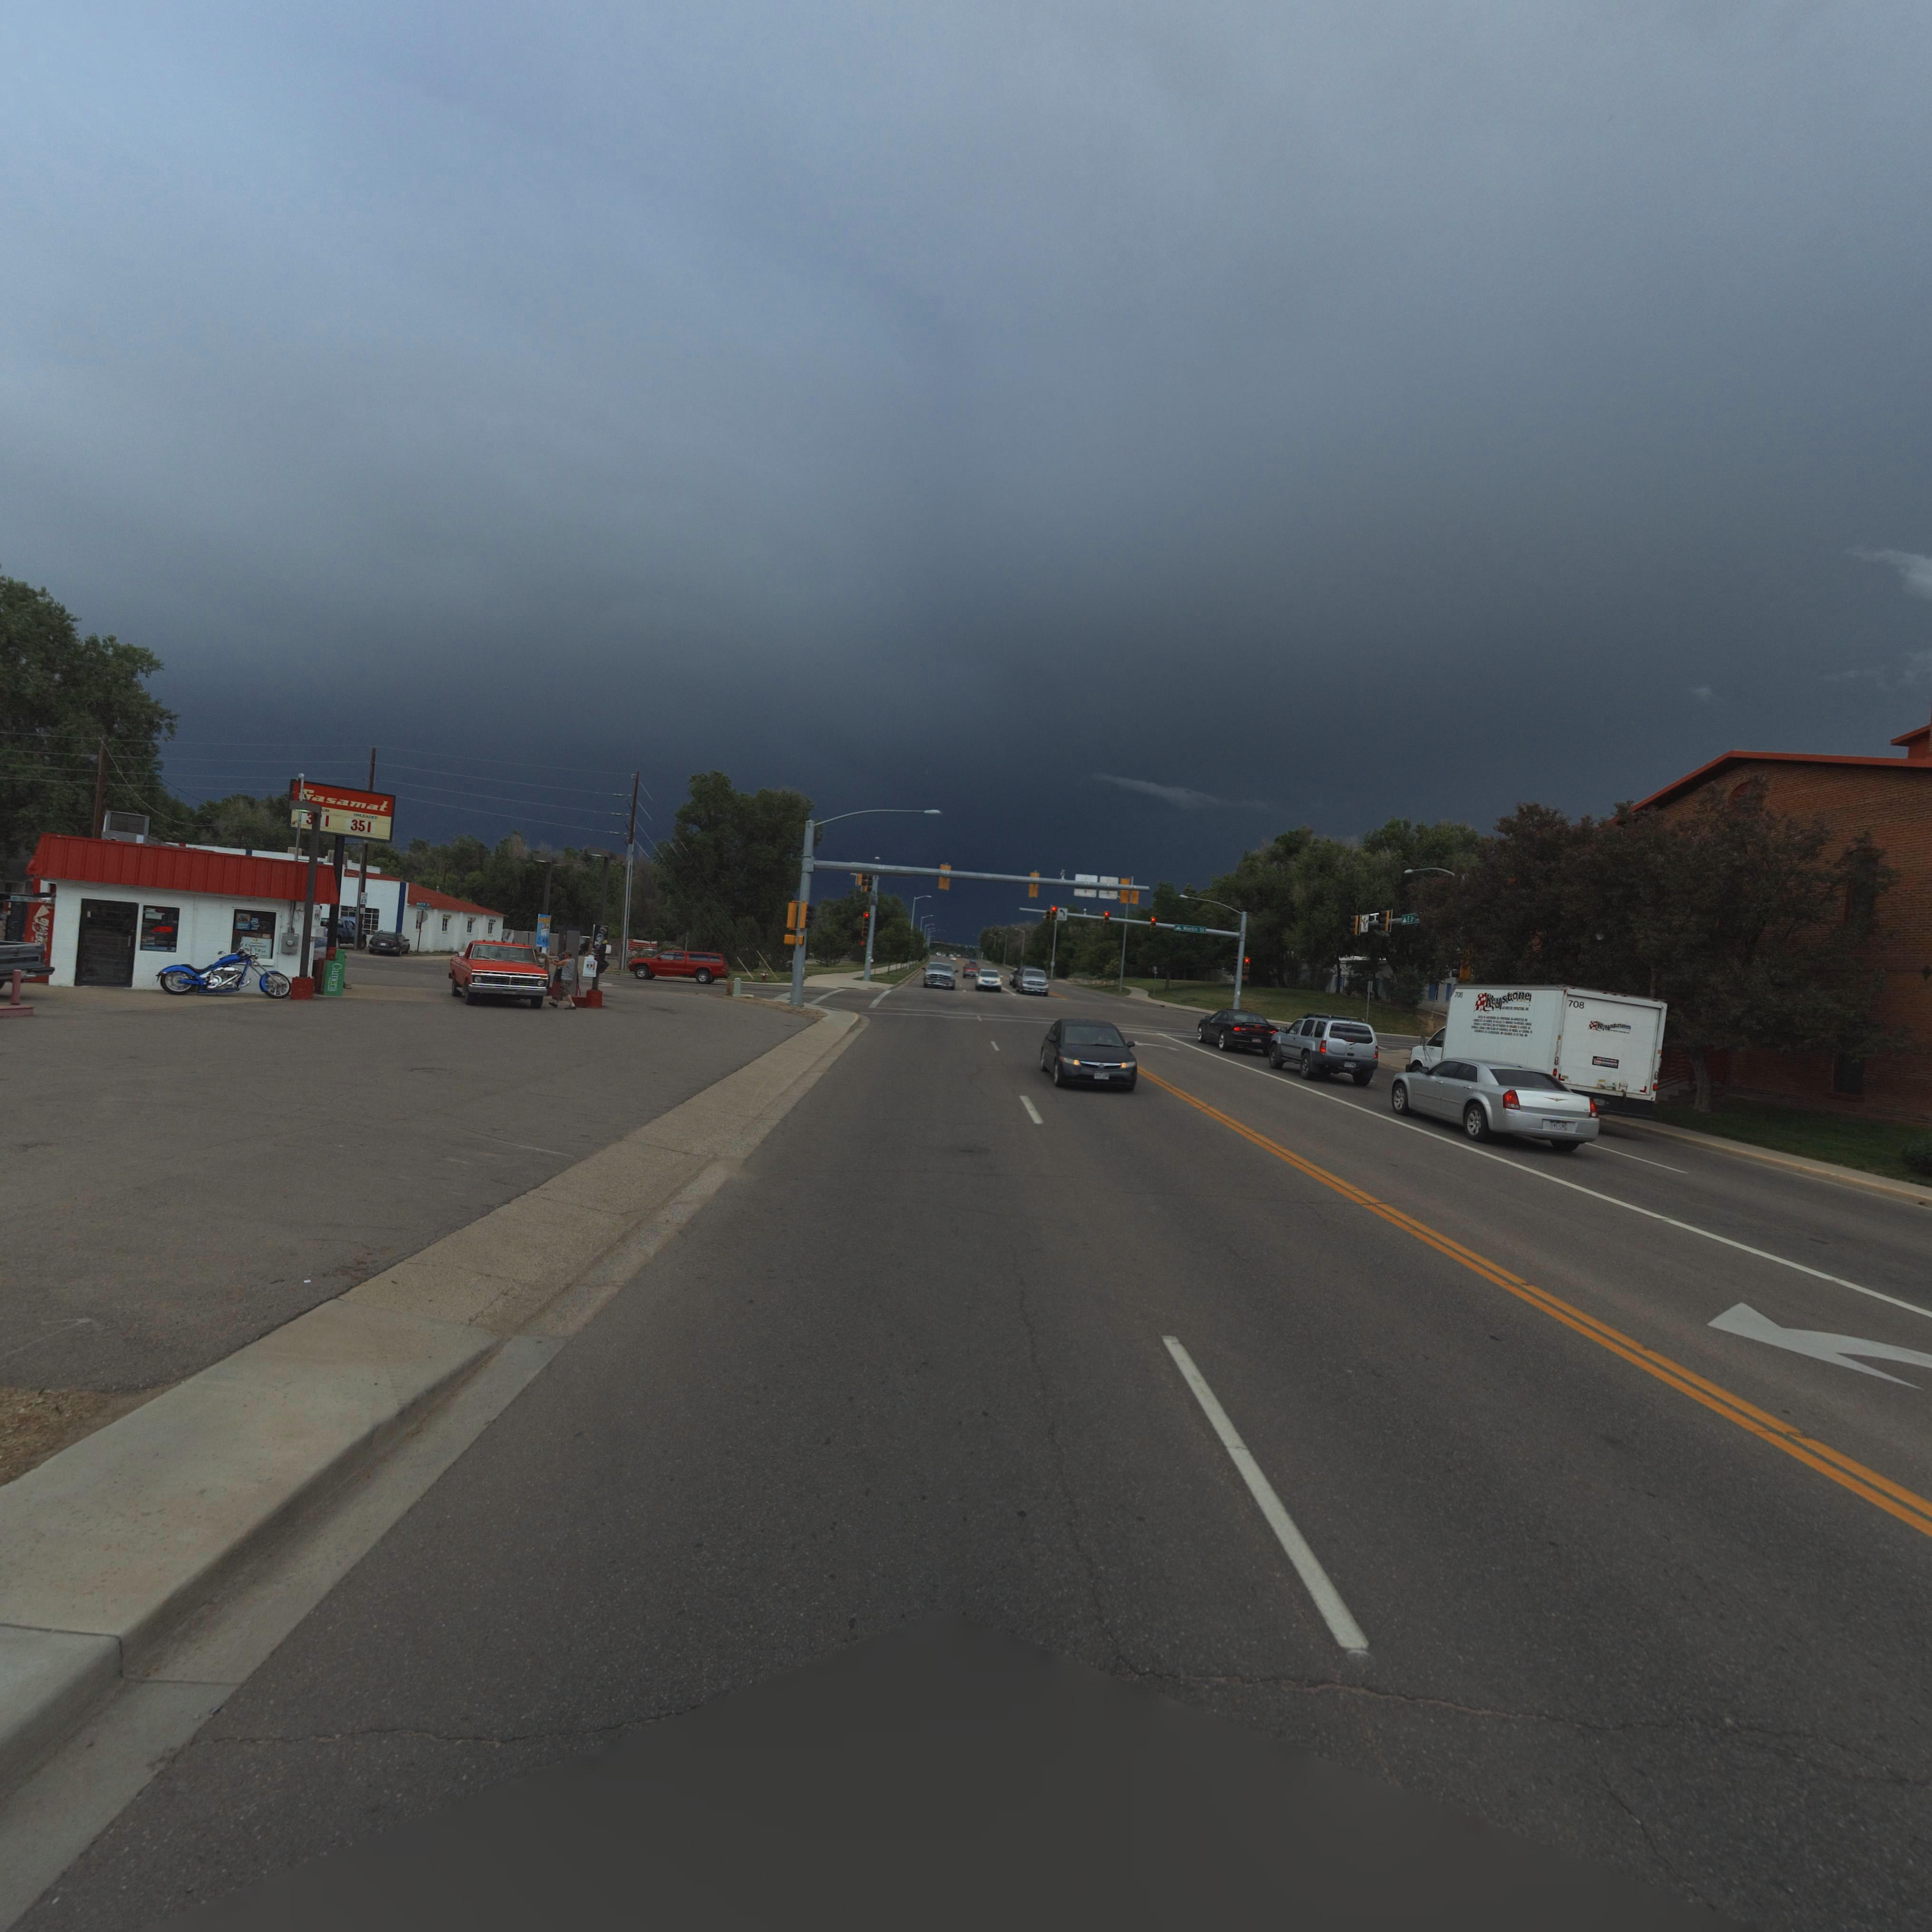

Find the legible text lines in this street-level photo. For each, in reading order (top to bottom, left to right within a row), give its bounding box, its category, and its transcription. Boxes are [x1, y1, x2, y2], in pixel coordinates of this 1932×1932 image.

[297, 788, 388, 812] BusinessName: Gasamat
[1407, 915, 1412, 922] StreetName: E 3
[1183, 926, 1204, 932] StreetName: M*rt*n St